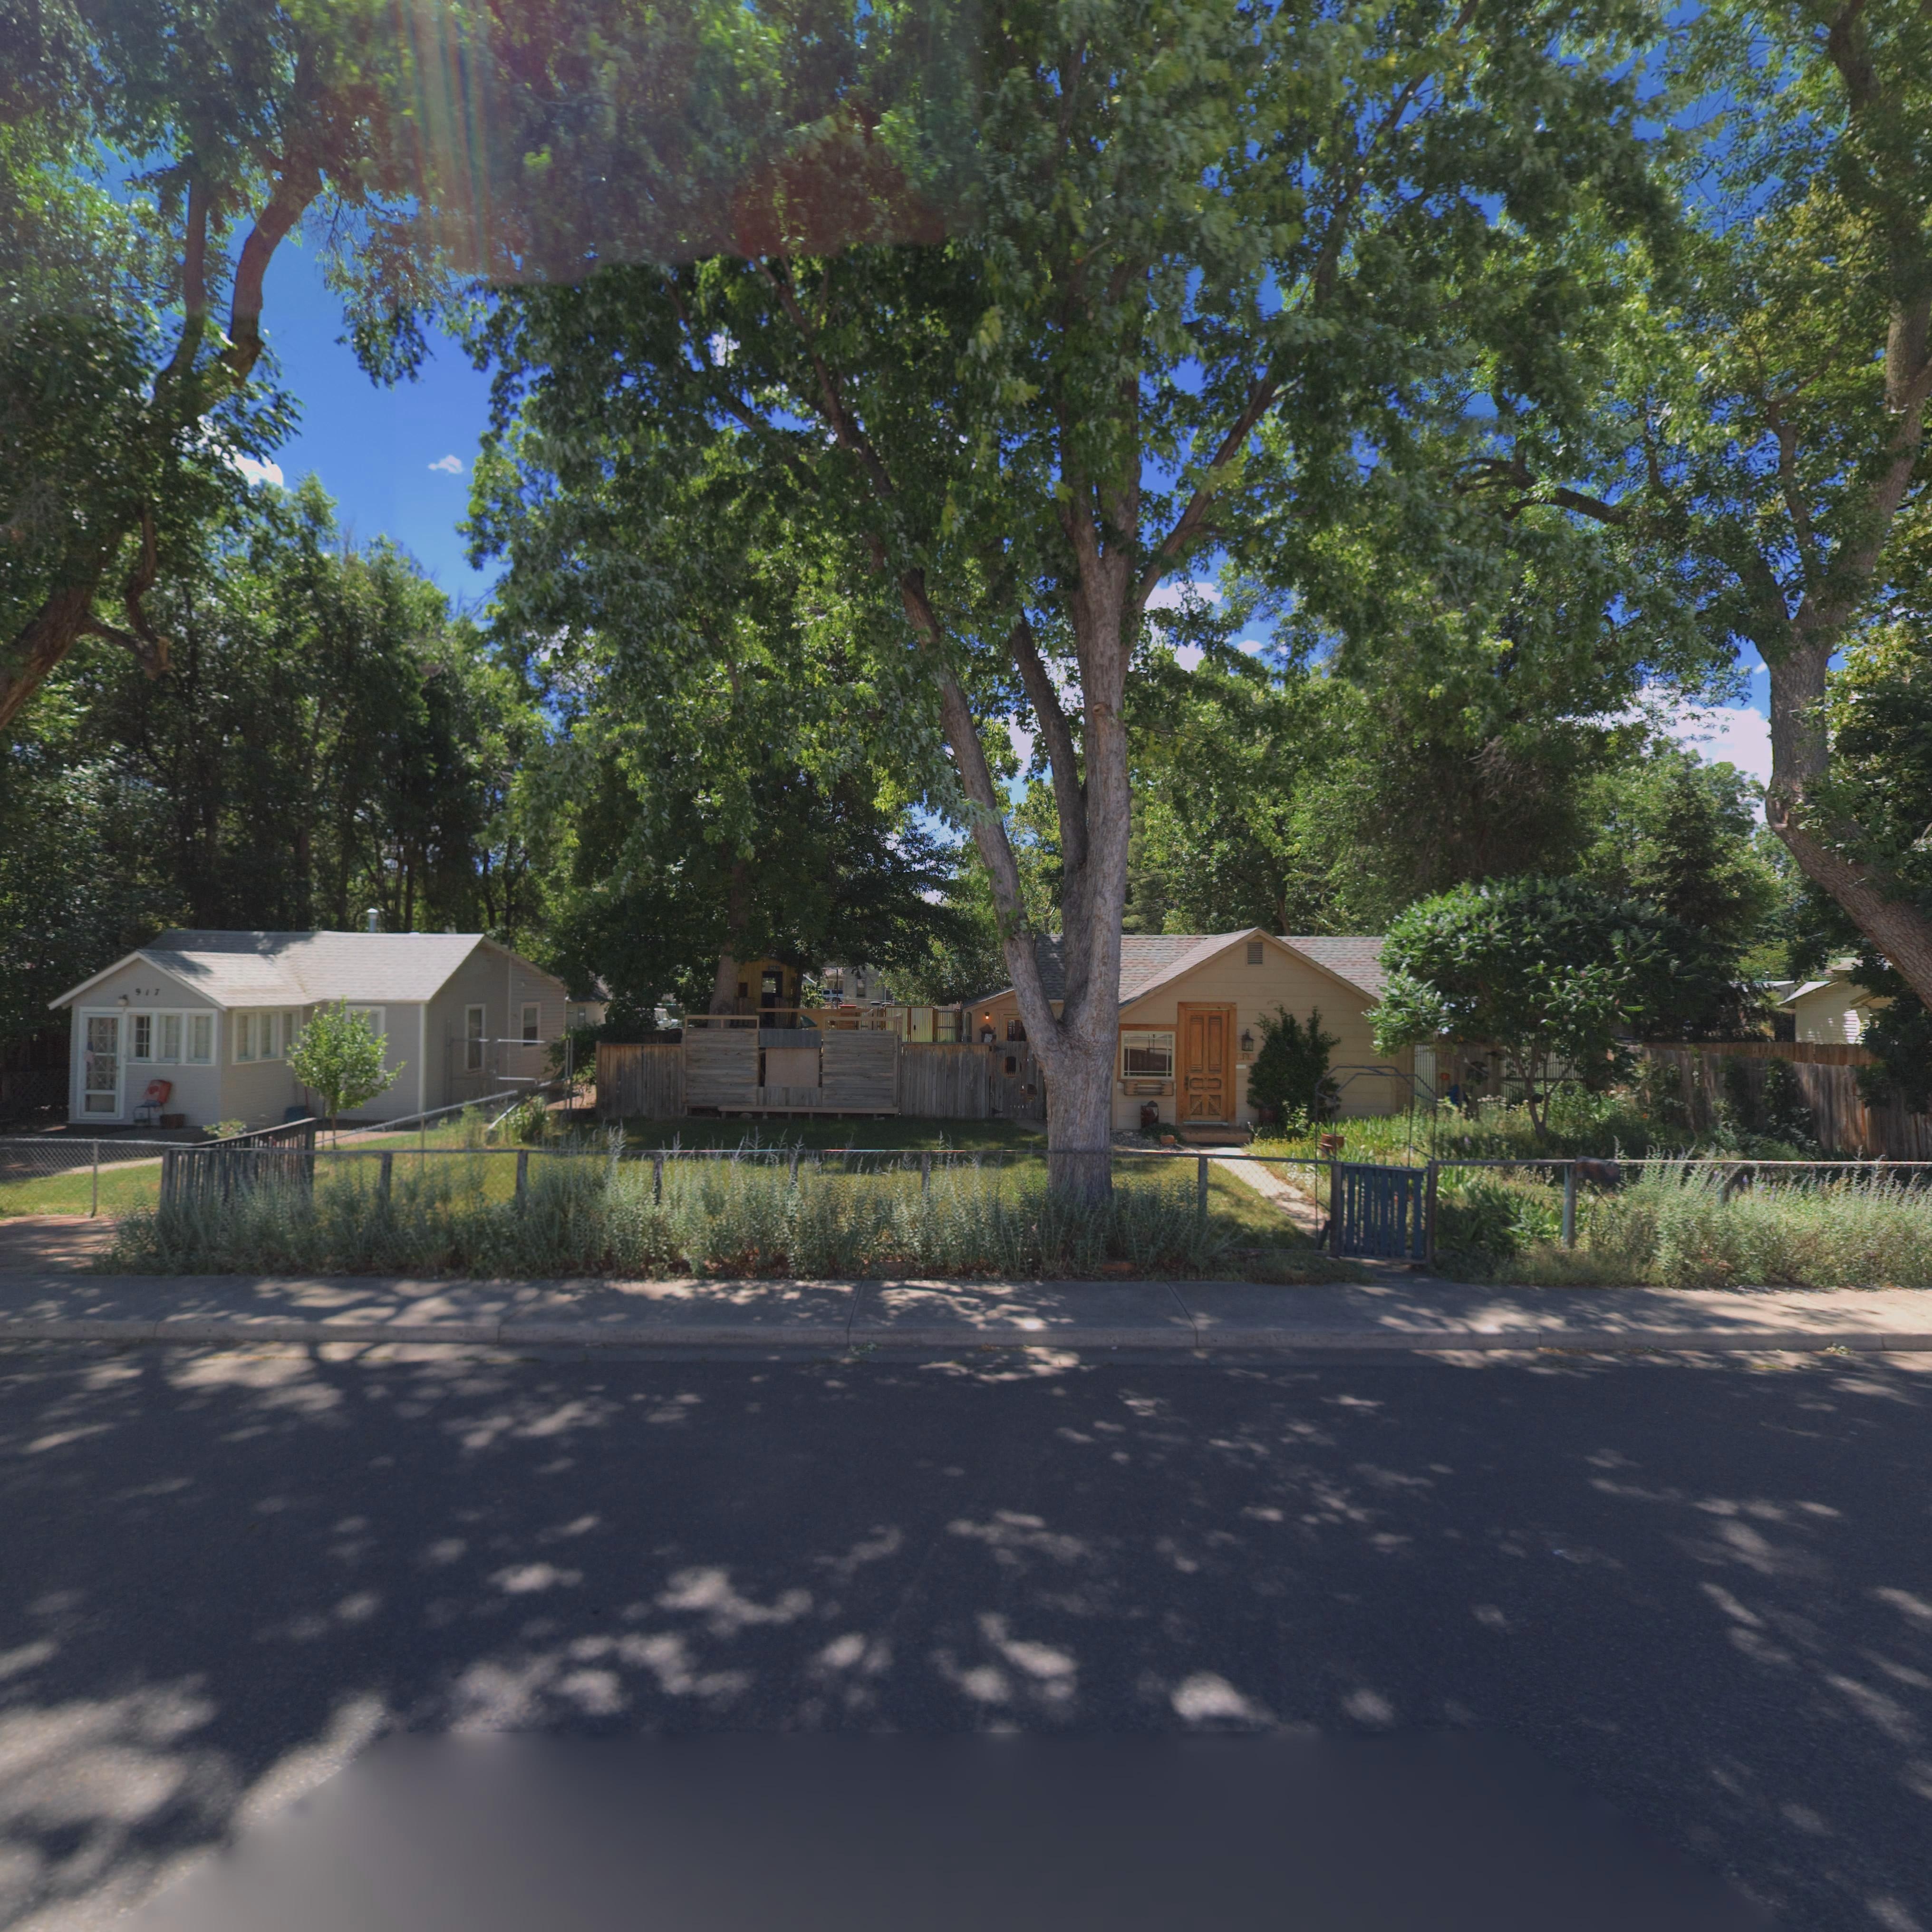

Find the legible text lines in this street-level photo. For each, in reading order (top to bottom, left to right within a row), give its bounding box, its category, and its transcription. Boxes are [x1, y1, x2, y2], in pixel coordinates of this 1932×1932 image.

[135, 987, 161, 996] StreetNumber: 917
[1241, 1053, 1249, 1060] StreetNumber: 9**